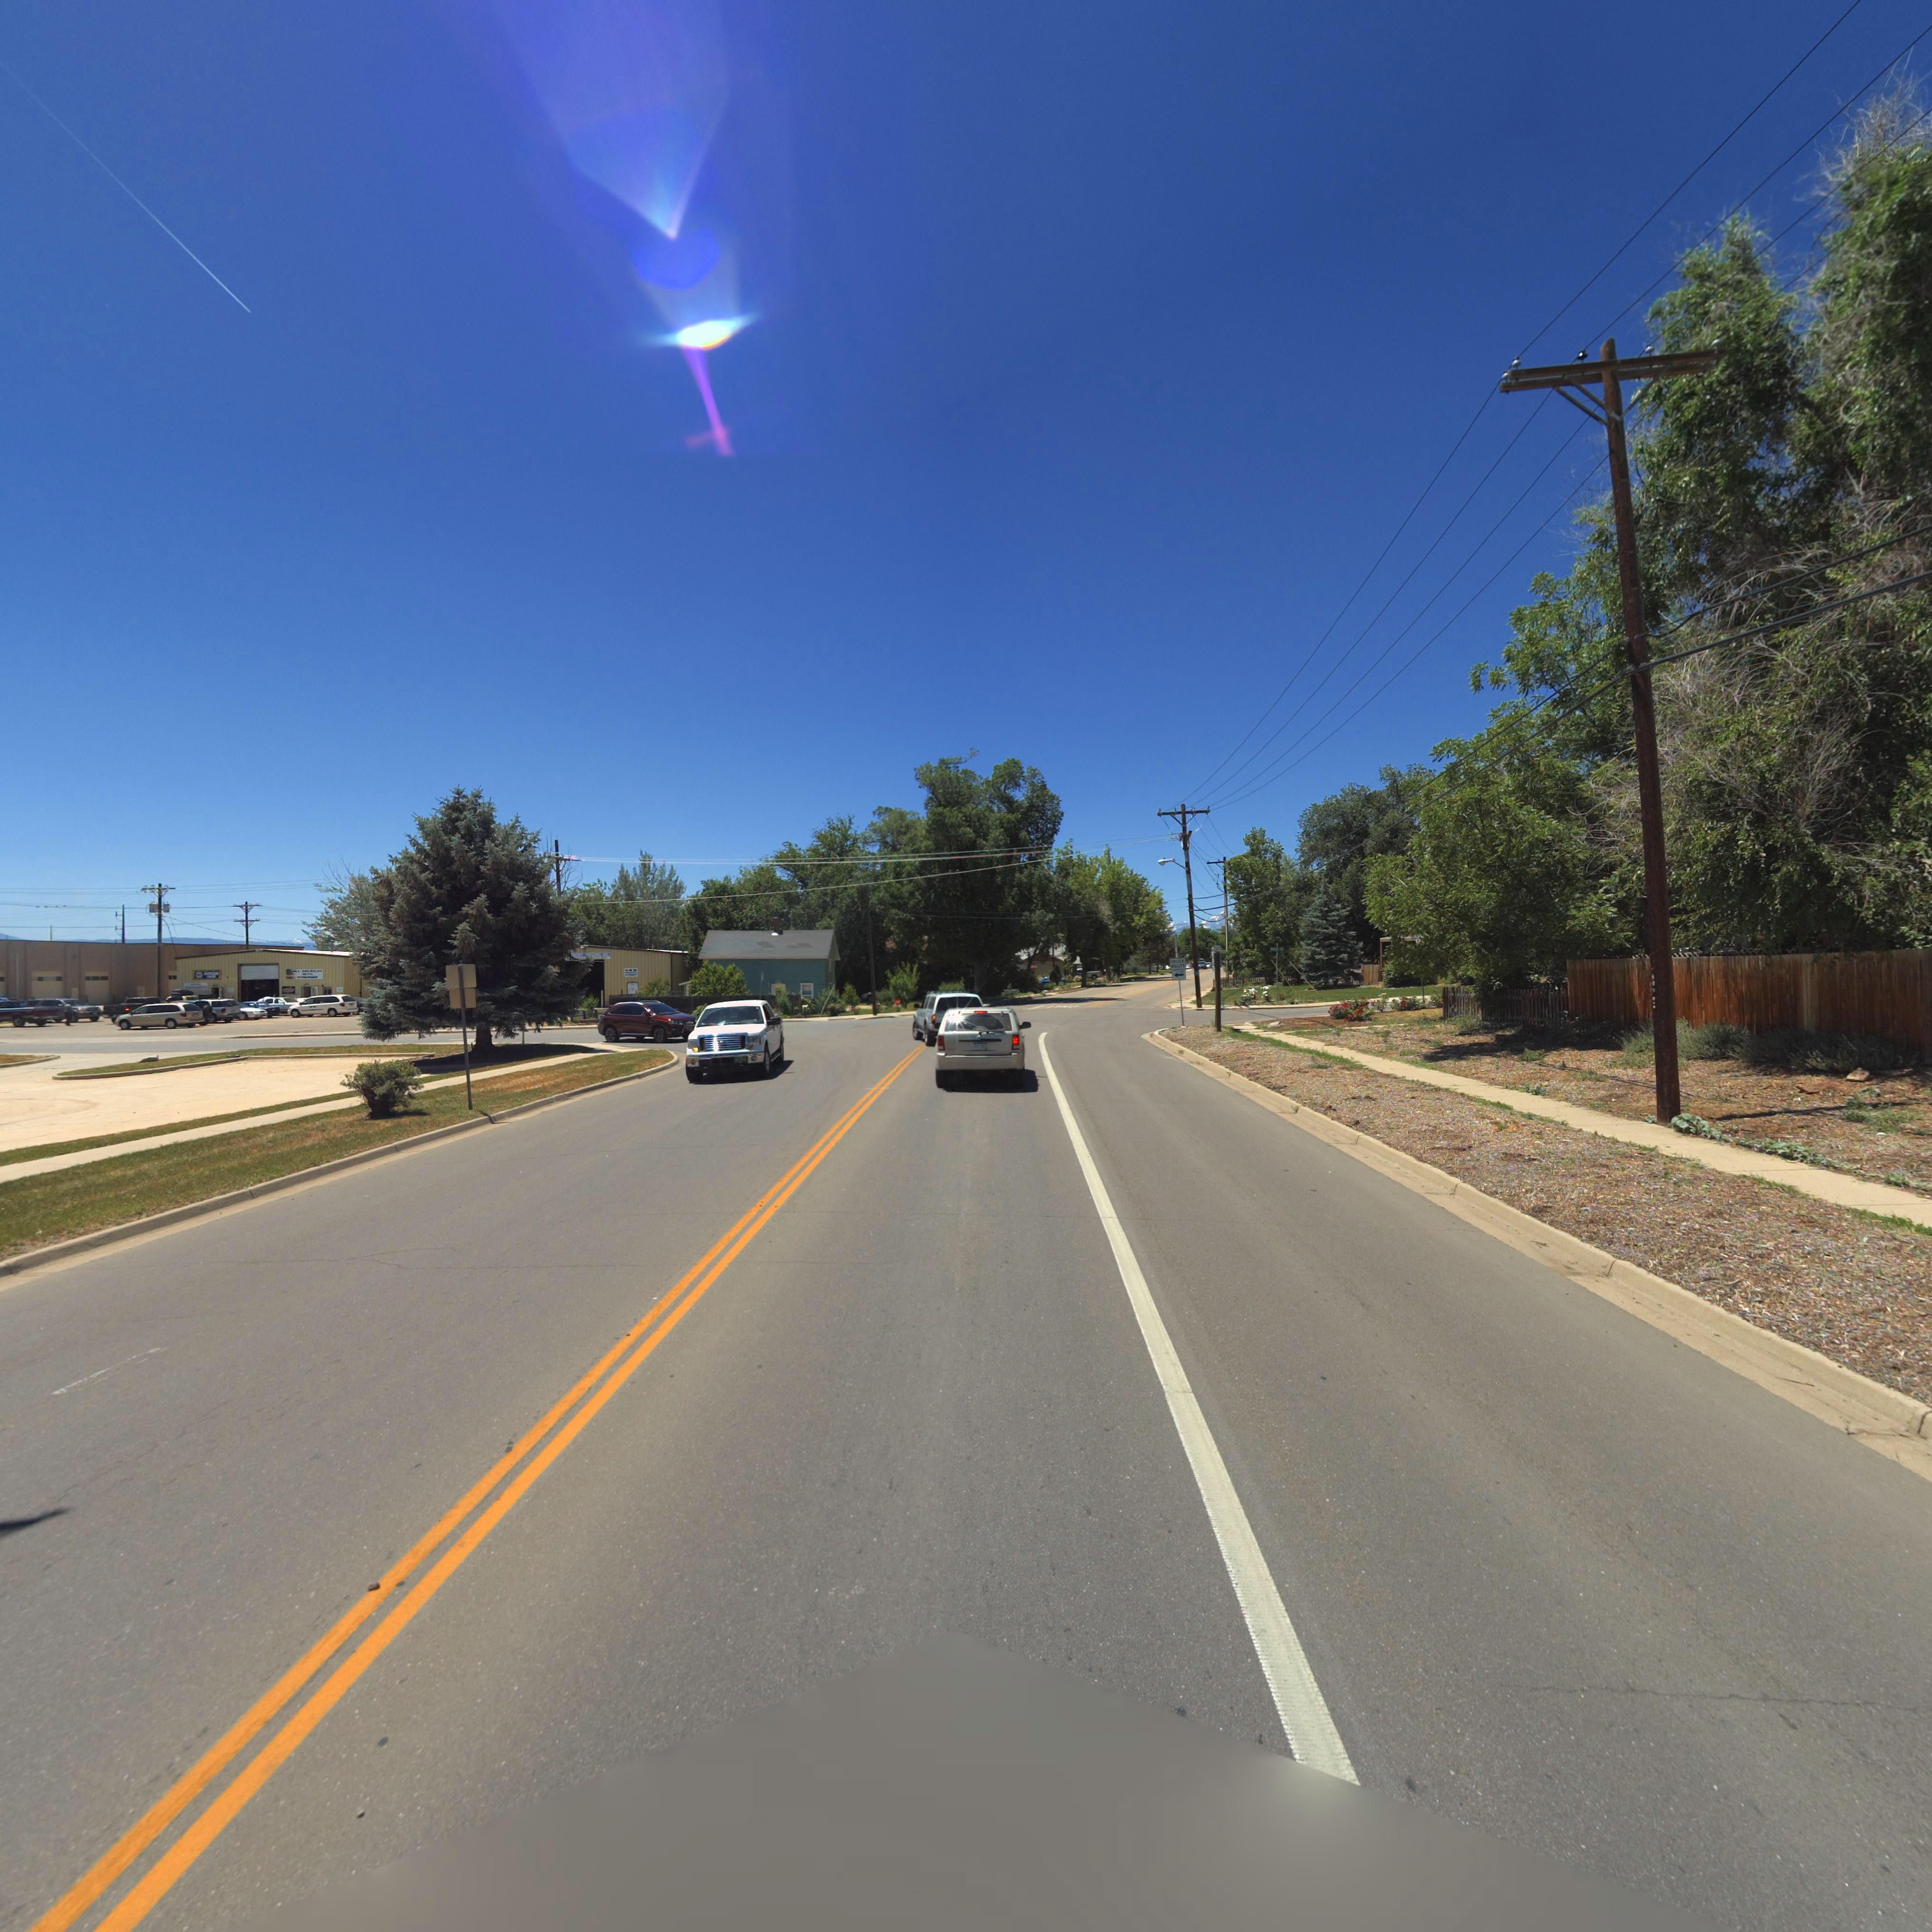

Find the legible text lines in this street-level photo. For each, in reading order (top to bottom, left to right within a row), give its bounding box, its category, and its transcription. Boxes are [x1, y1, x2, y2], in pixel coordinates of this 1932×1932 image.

[1270, 947, 1283, 951] StreetName: PRATT **
[624, 968, 637, 972] StreetNumber: 14*
[203, 971, 219, 976] StreetNumber: A***C***
[624, 971, 637, 974] StreetName: PR***
[625, 974, 637, 976] StreetName: C**RT
[1650, 974, 1655, 993] StreetNumber: 80*